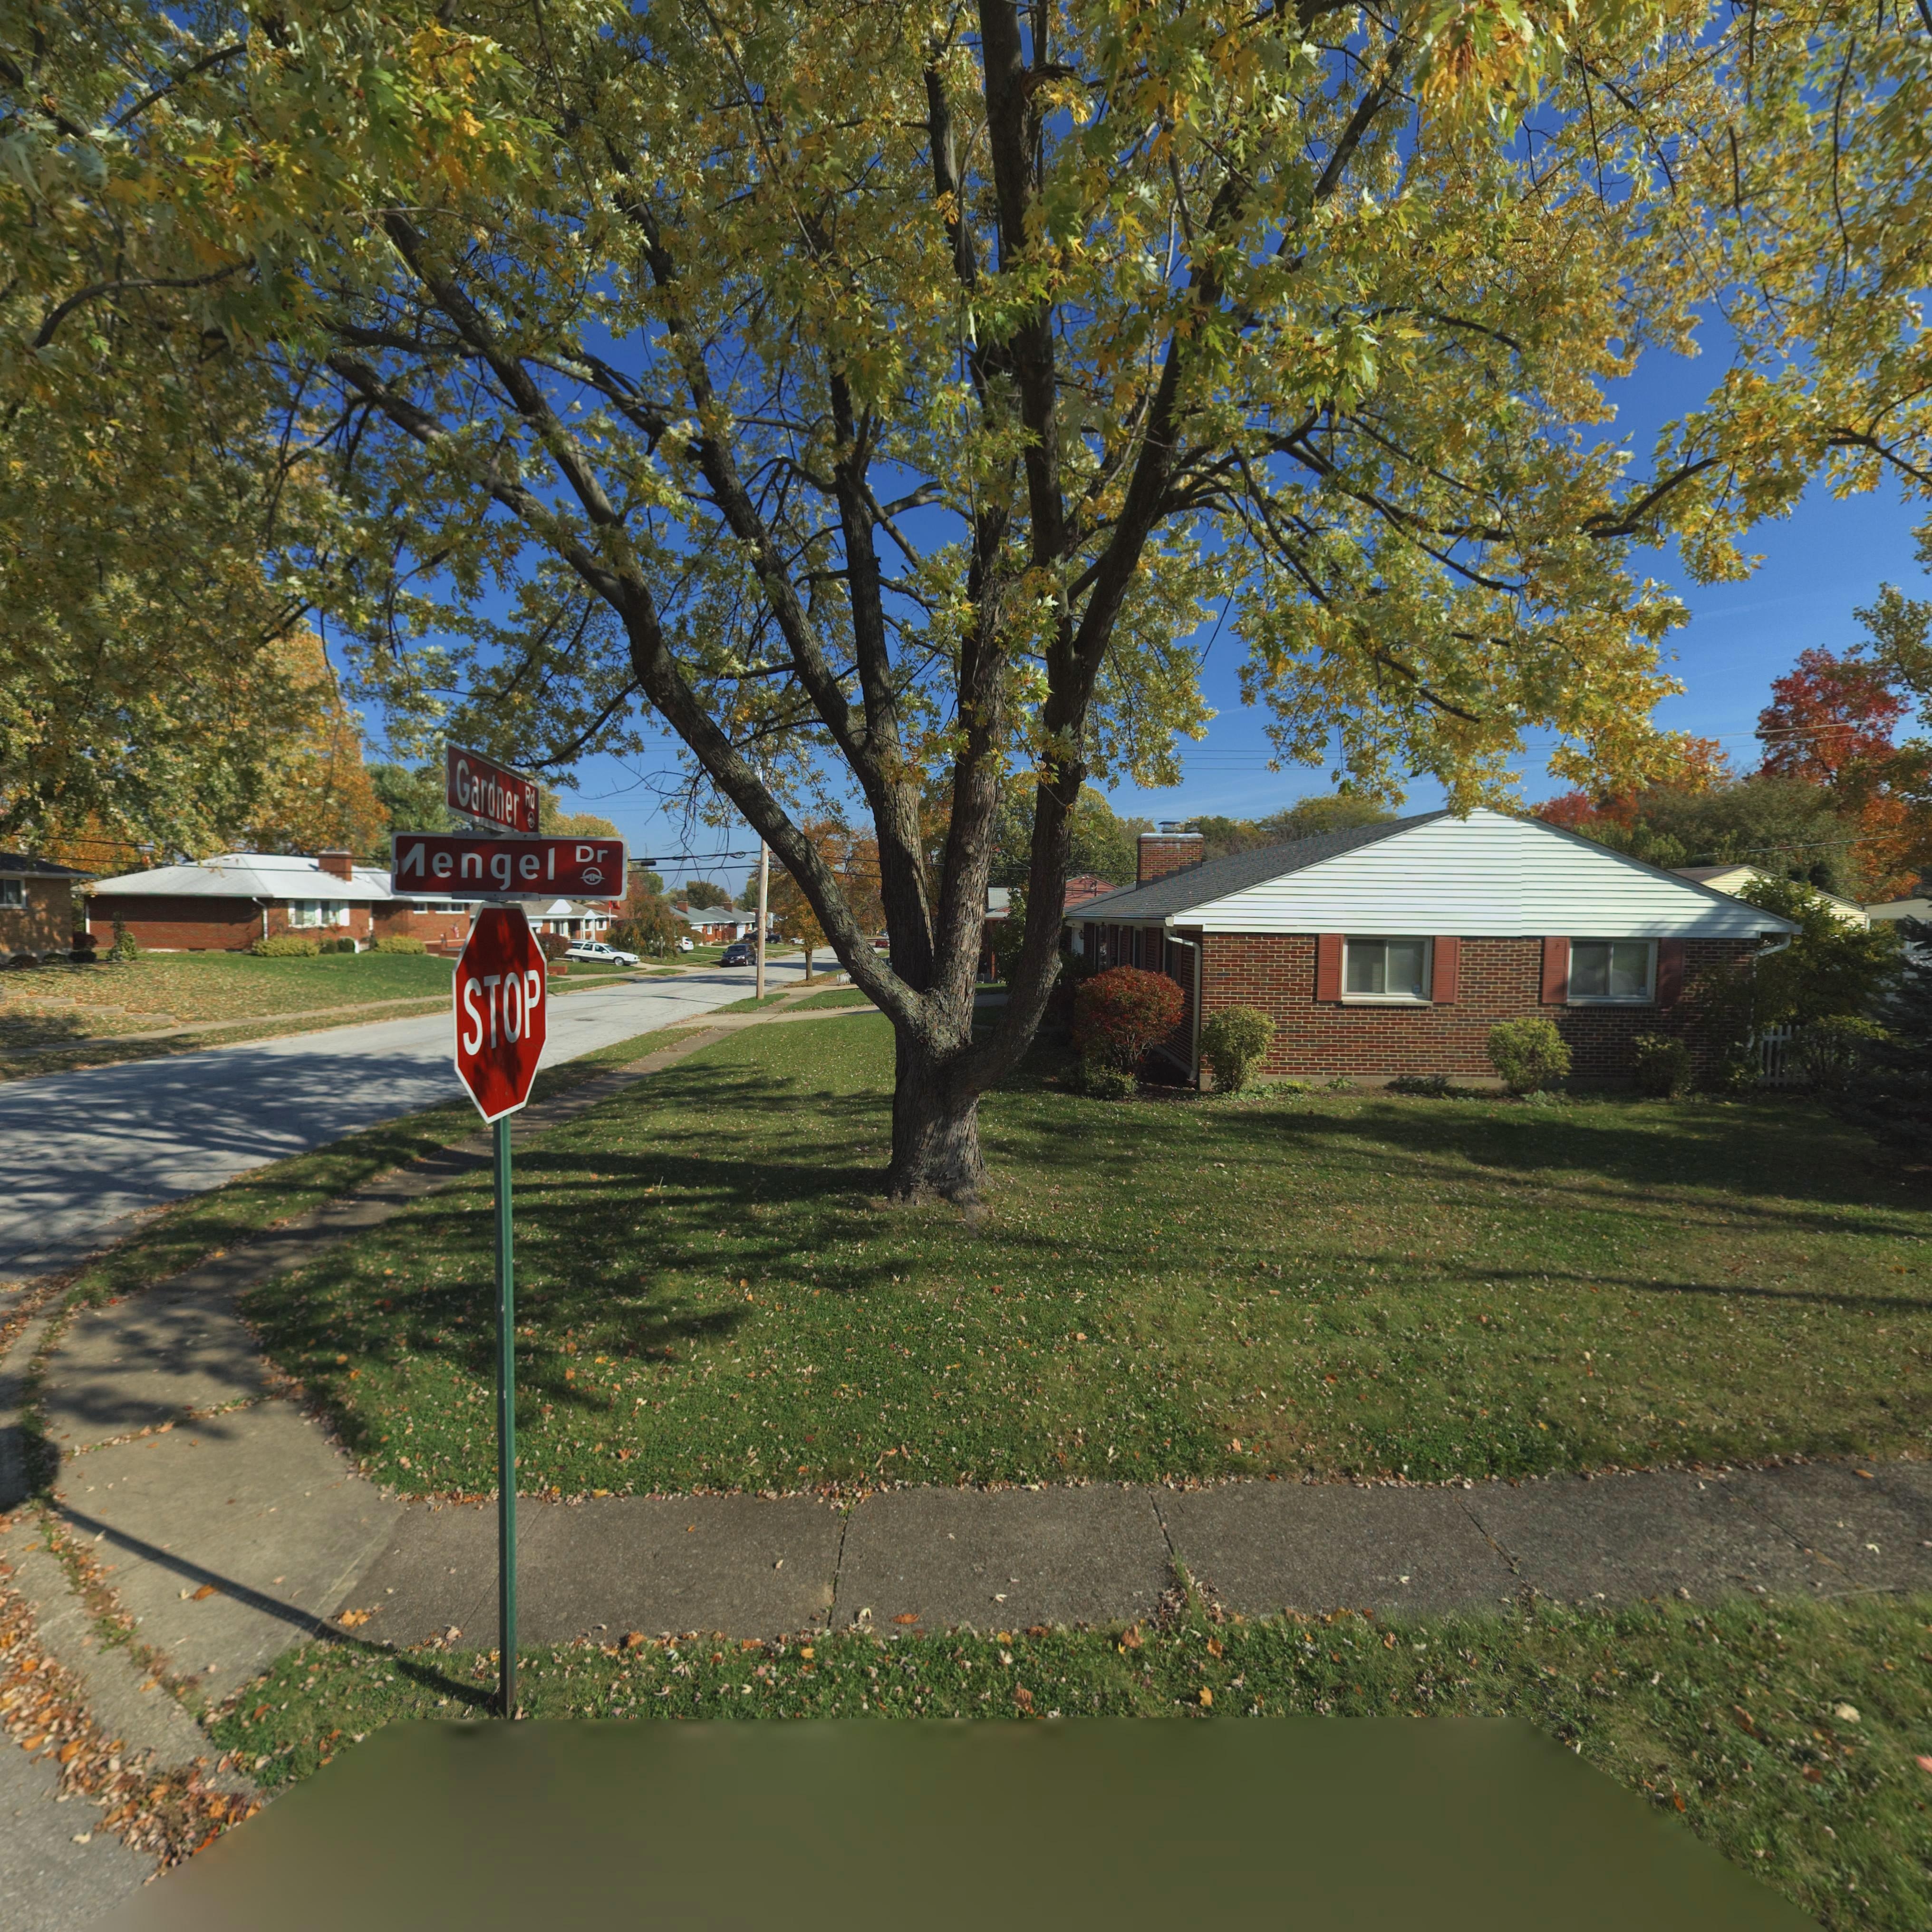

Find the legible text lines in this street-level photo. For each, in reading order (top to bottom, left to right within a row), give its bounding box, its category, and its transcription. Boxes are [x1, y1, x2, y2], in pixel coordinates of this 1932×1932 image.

[455, 758, 536, 826] StreetName: Gardner Rd
[431, 844, 609, 892] StreetName: engel Dr
[461, 967, 541, 1059] None: STOP